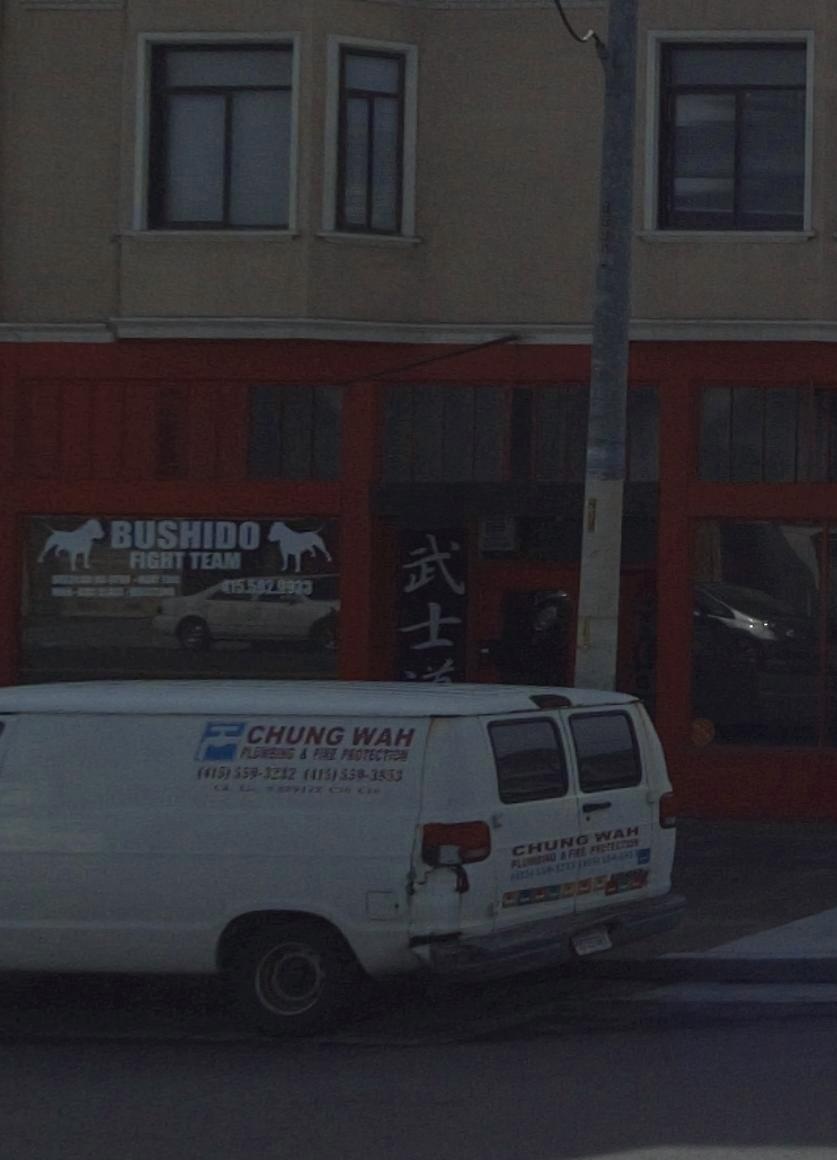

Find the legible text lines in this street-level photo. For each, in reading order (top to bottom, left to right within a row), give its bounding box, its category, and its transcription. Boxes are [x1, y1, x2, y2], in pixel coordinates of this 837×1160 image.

[109, 519, 263, 552] BusinessName: BUSHIDO
[126, 550, 243, 570] BusinessName: FIGHT TEAM
[217, 577, 316, 596] None: 415.592.9933
[246, 723, 417, 747] None: CHUNG WAH
[238, 745, 412, 762] None: PLUMBING & FIRE PROTECTION
[196, 764, 406, 782] None: (415)*59-32*2 (415)***-3***
[510, 823, 641, 859] None: CHUNG WAH